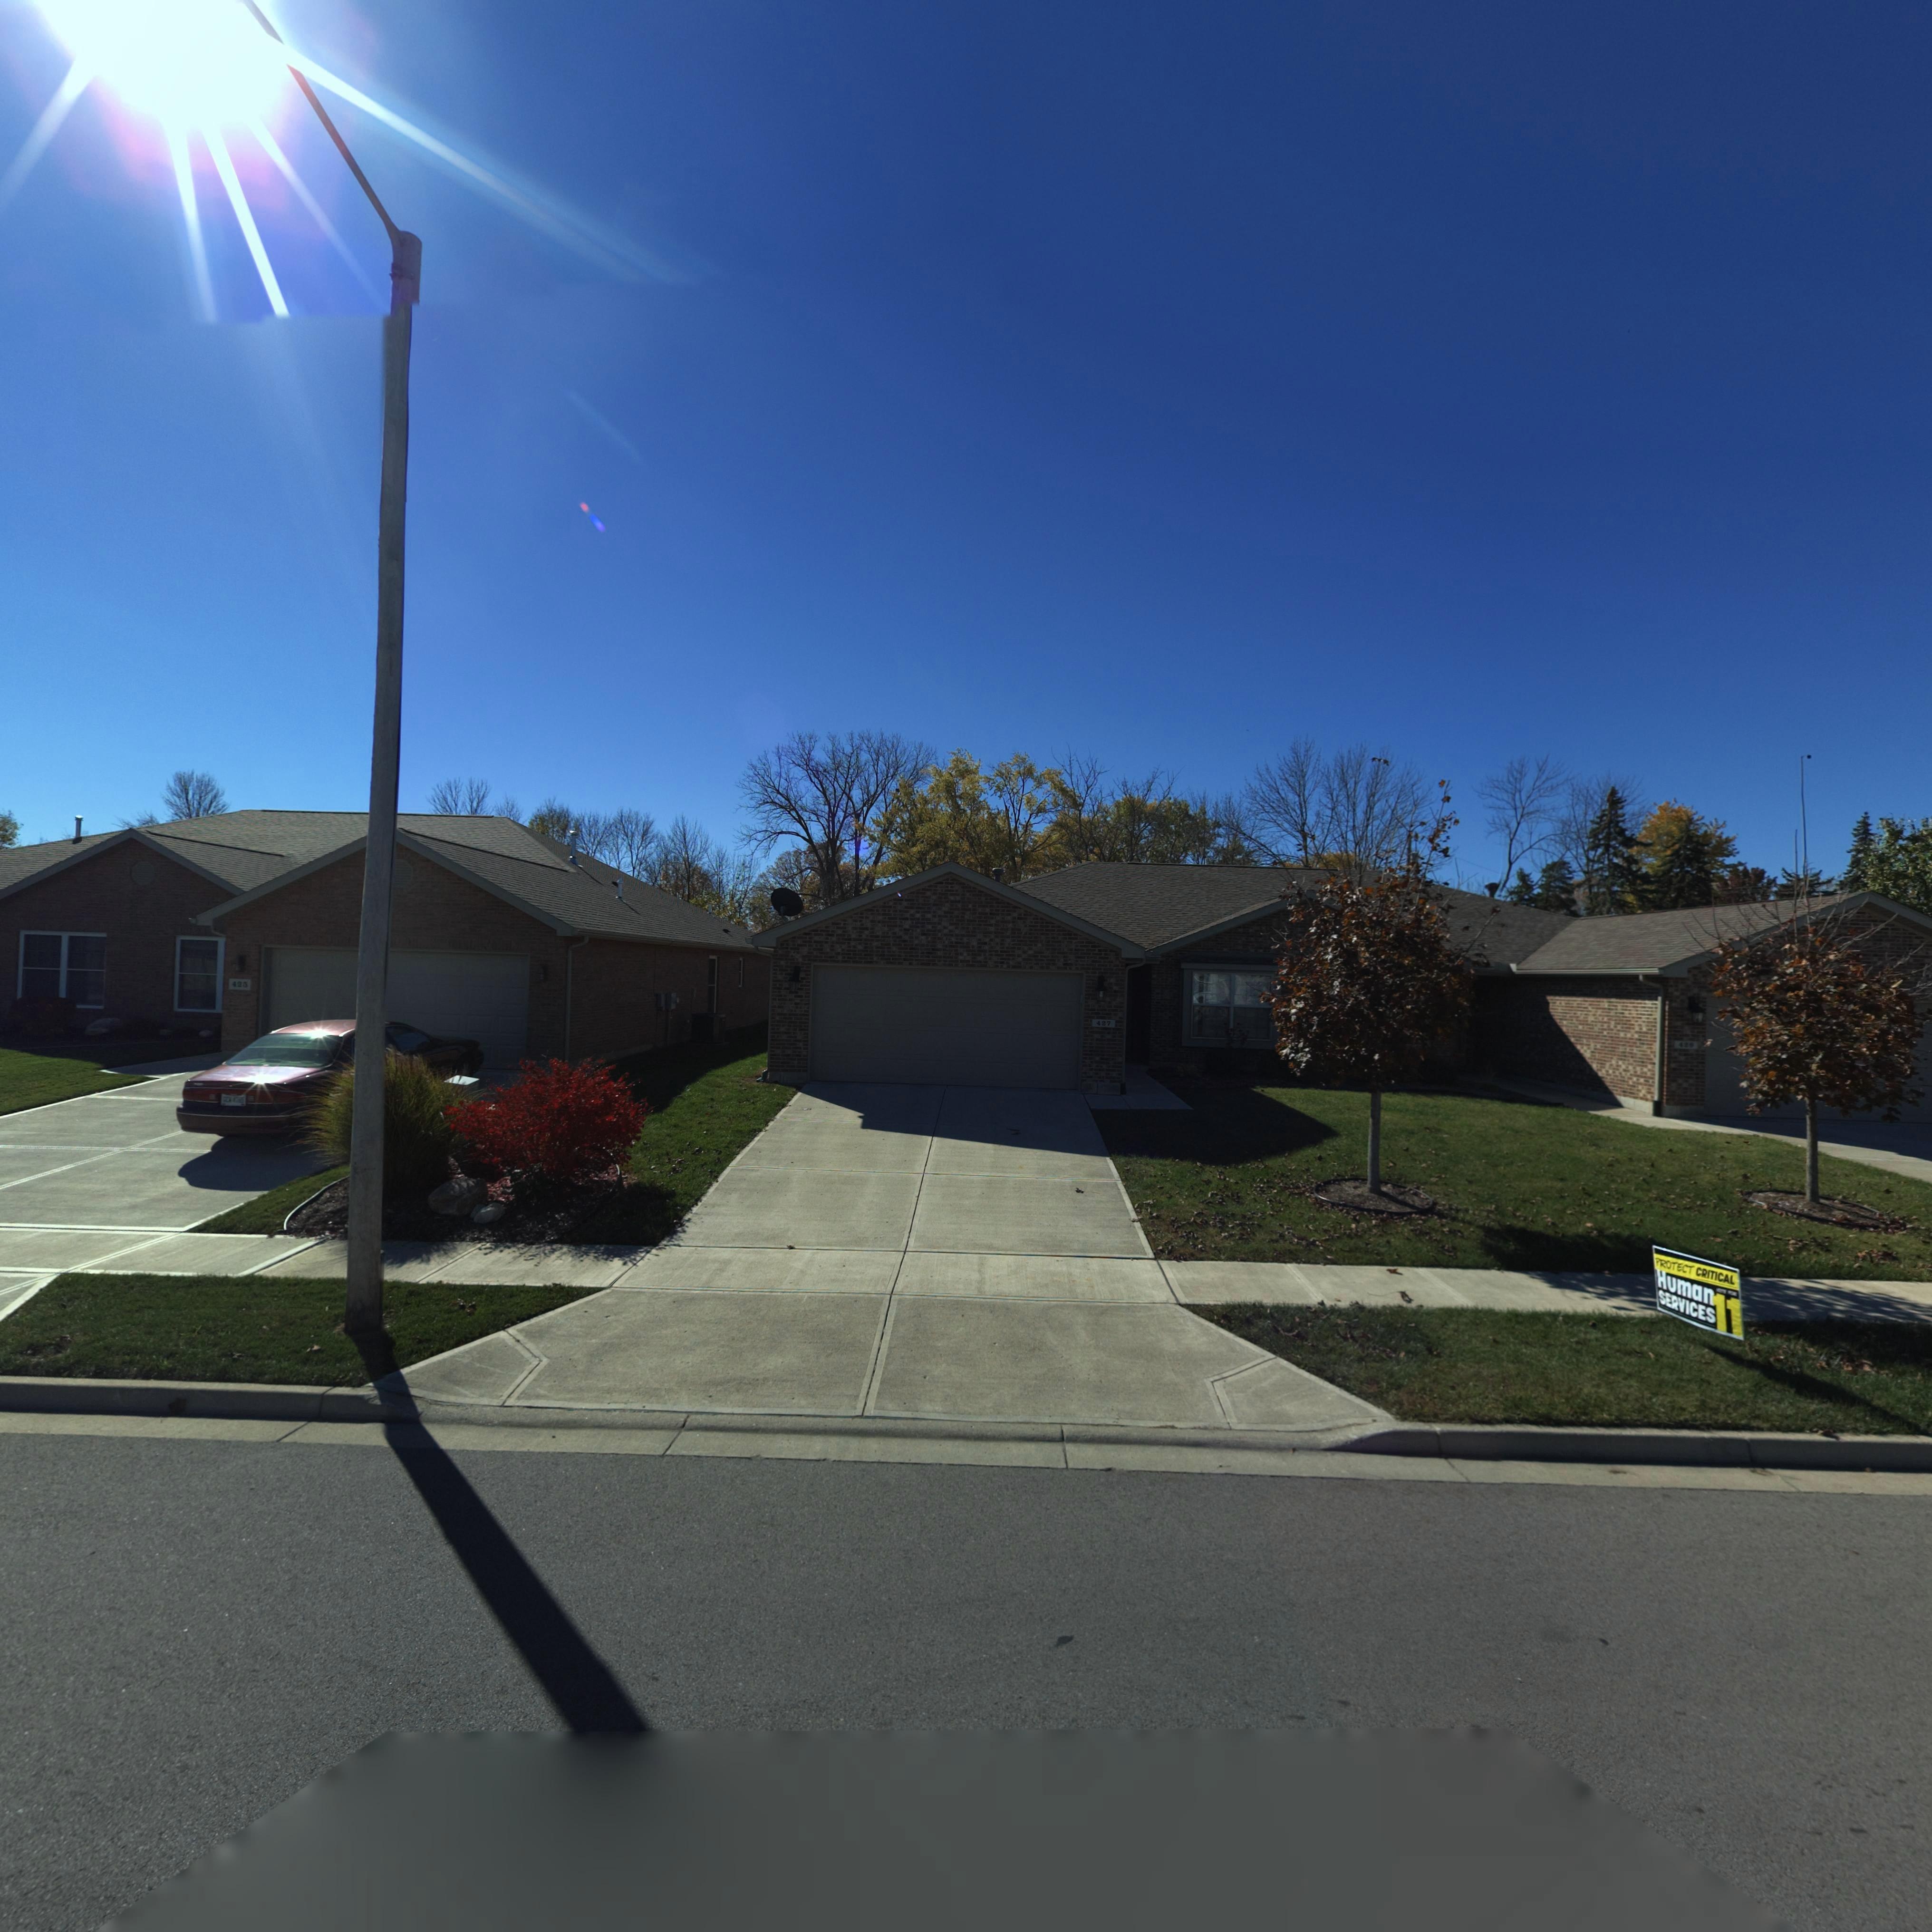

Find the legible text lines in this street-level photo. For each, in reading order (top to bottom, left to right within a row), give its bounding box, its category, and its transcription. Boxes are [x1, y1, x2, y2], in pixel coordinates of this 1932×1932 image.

[231, 980, 249, 988] StreetNumber: 425
[1095, 1020, 1112, 1027] StreetNumber: 427
[1678, 1041, 1695, 1048] StreetNumber: 42*